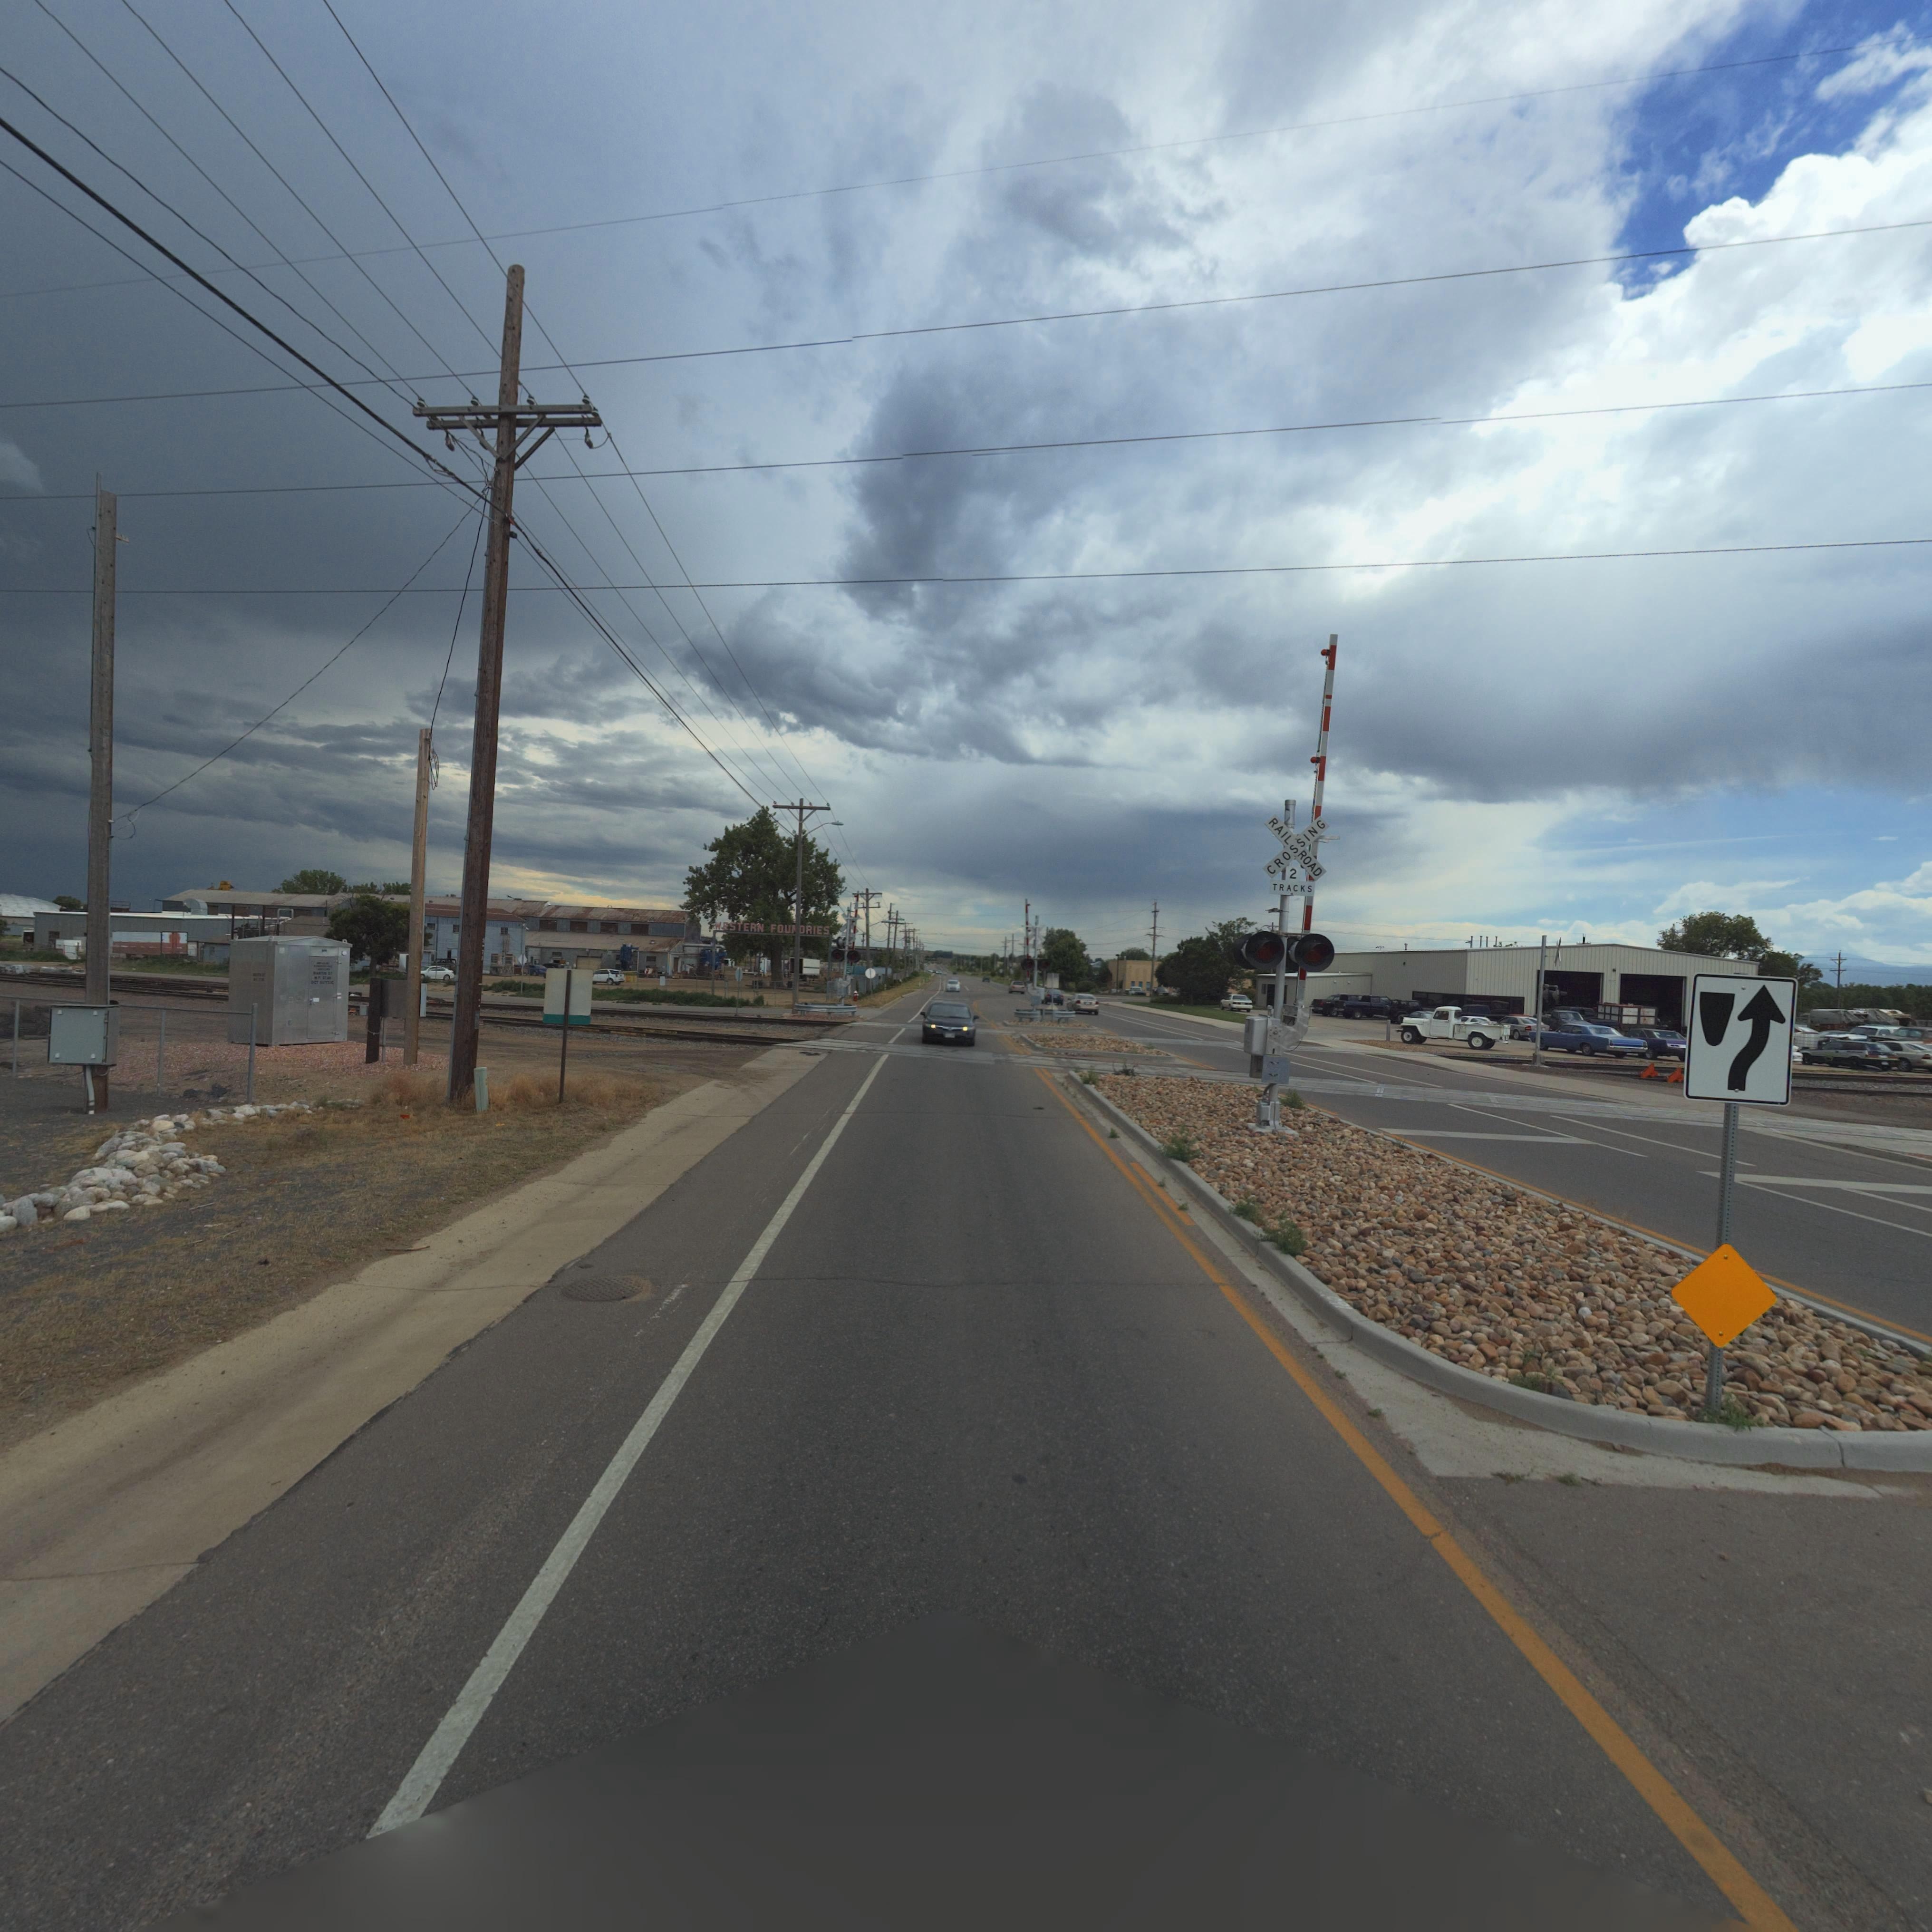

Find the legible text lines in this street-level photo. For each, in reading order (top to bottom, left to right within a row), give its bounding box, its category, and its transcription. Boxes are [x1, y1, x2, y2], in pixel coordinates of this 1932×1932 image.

[714, 921, 831, 935] BusinessName: WESTERN FOU**RIES
[312, 971, 334, 976] StreetName: MAR*IN S*